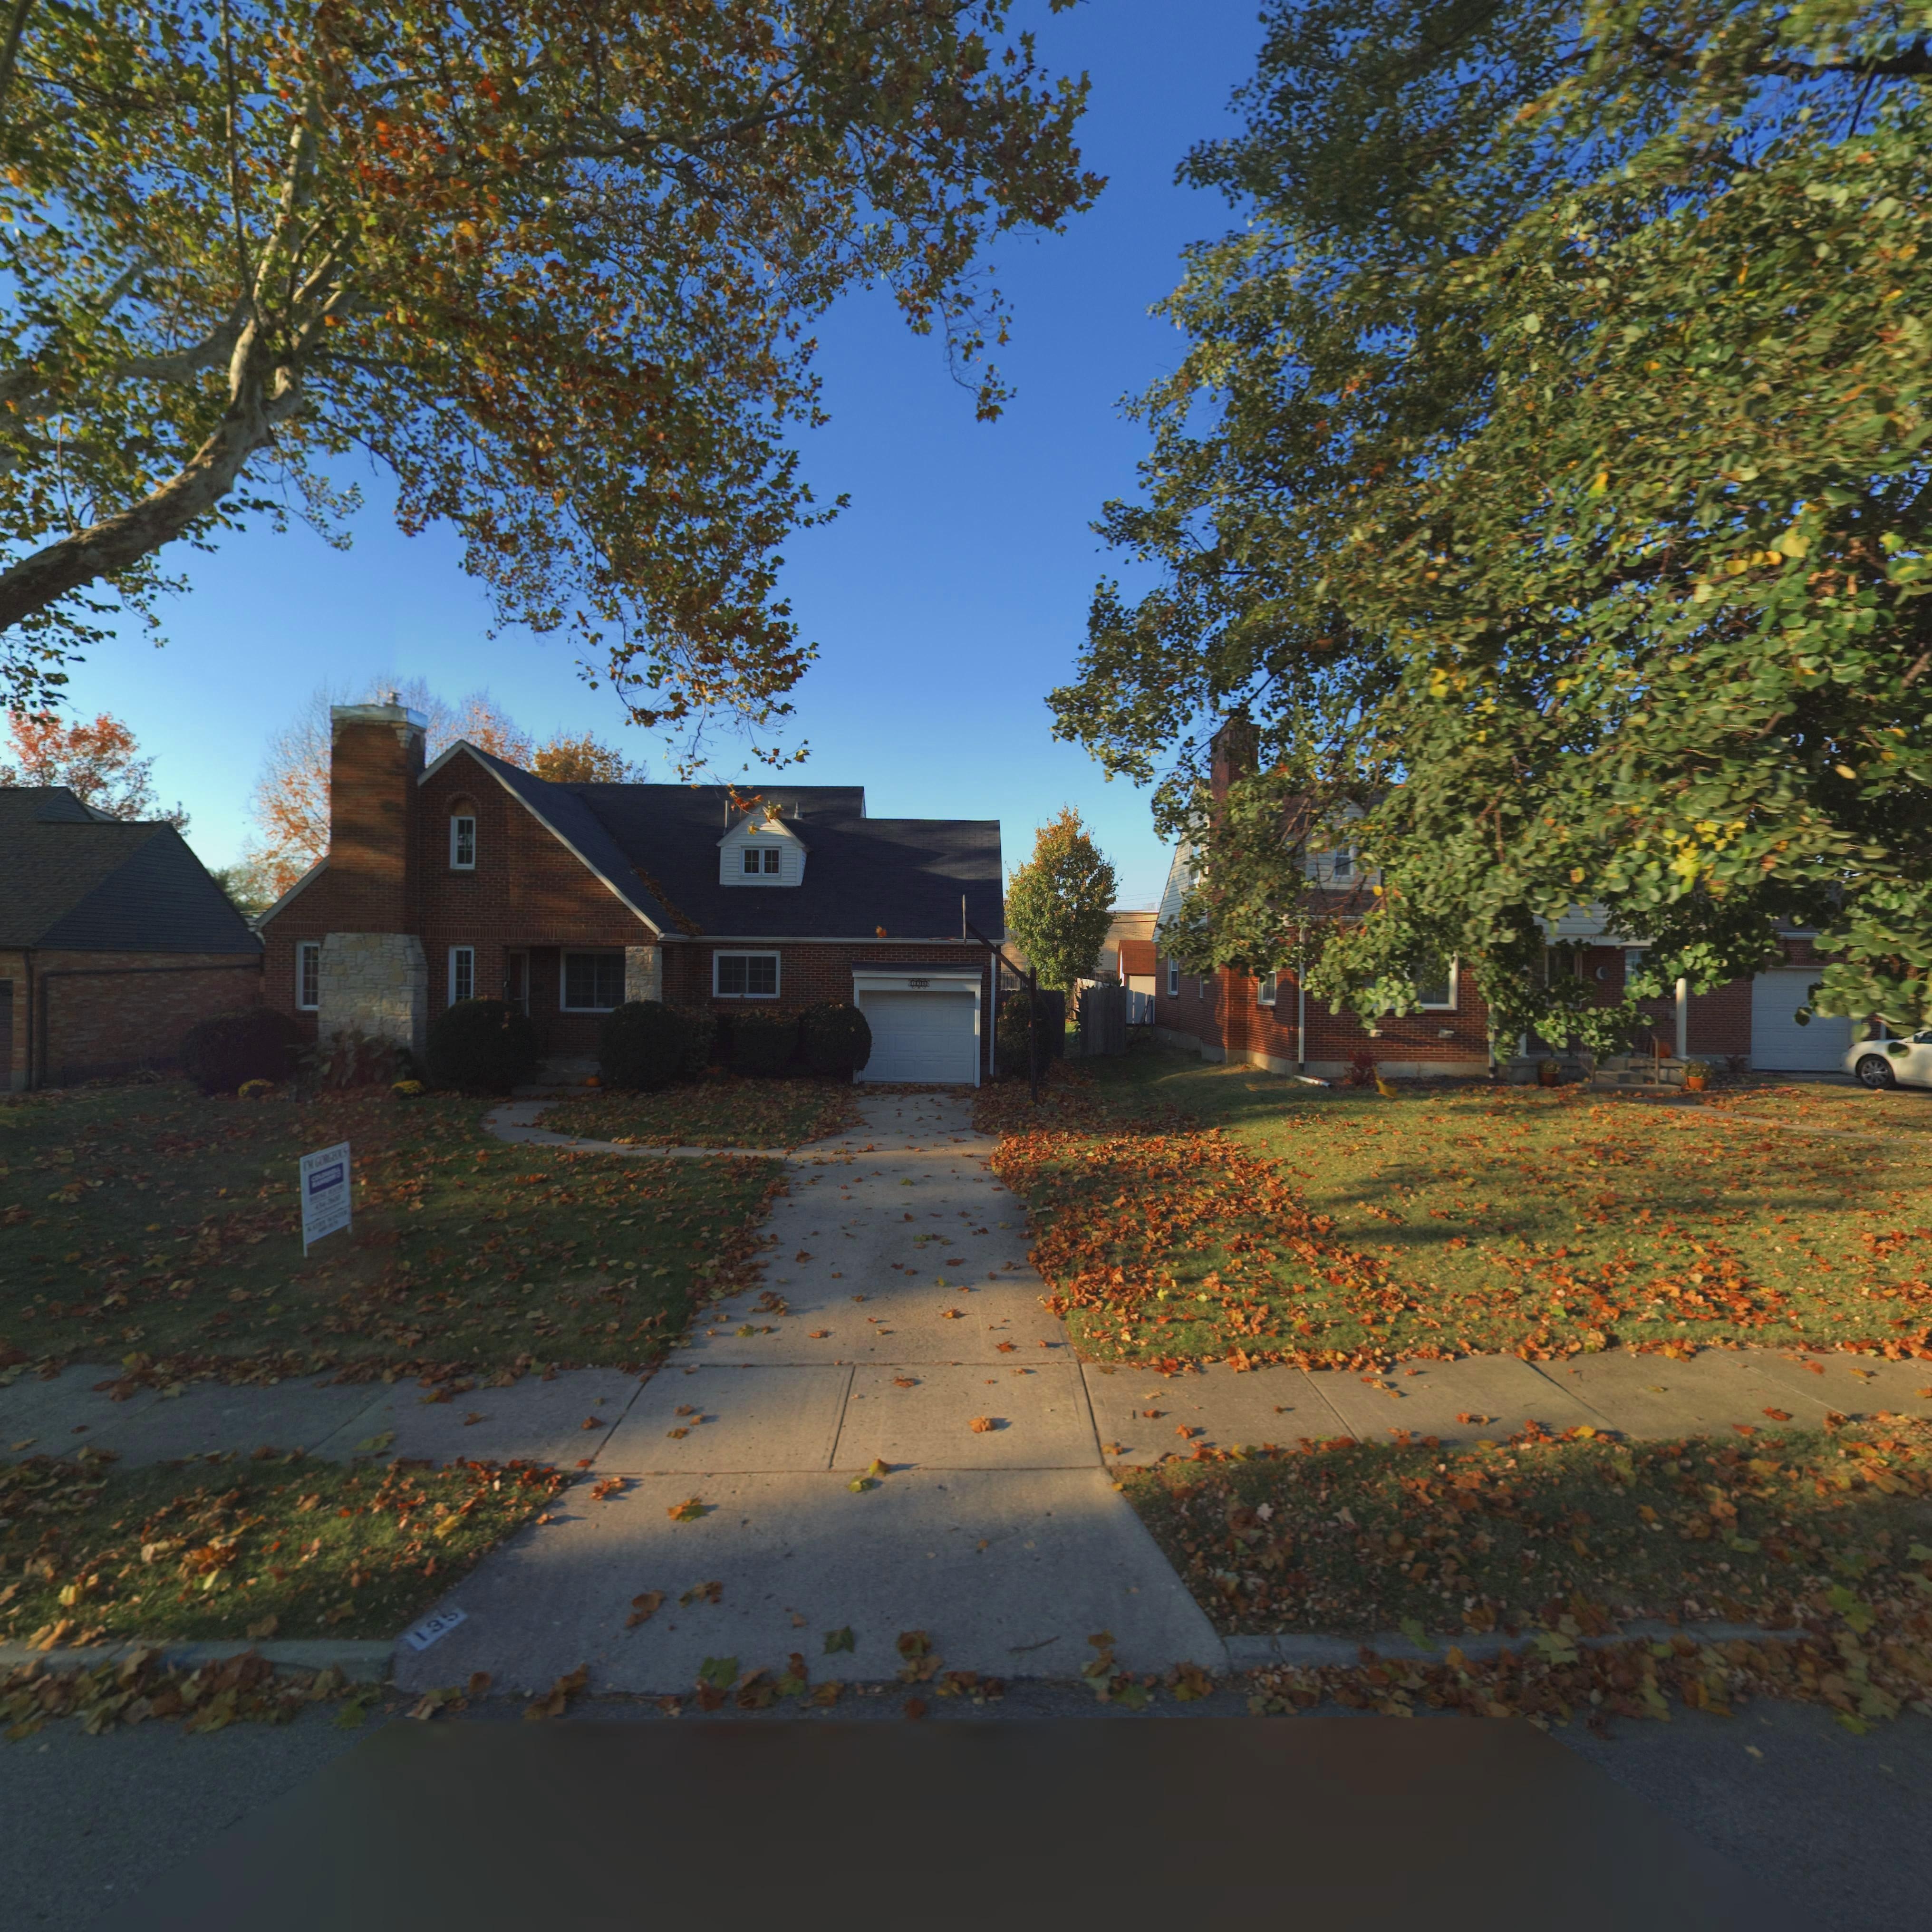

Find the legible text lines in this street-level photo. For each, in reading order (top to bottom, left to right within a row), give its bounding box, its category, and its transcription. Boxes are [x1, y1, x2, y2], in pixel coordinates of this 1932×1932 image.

[912, 982, 926, 985] StreetNumber: 135
[412, 1607, 462, 1643] StreetNumber: 13*